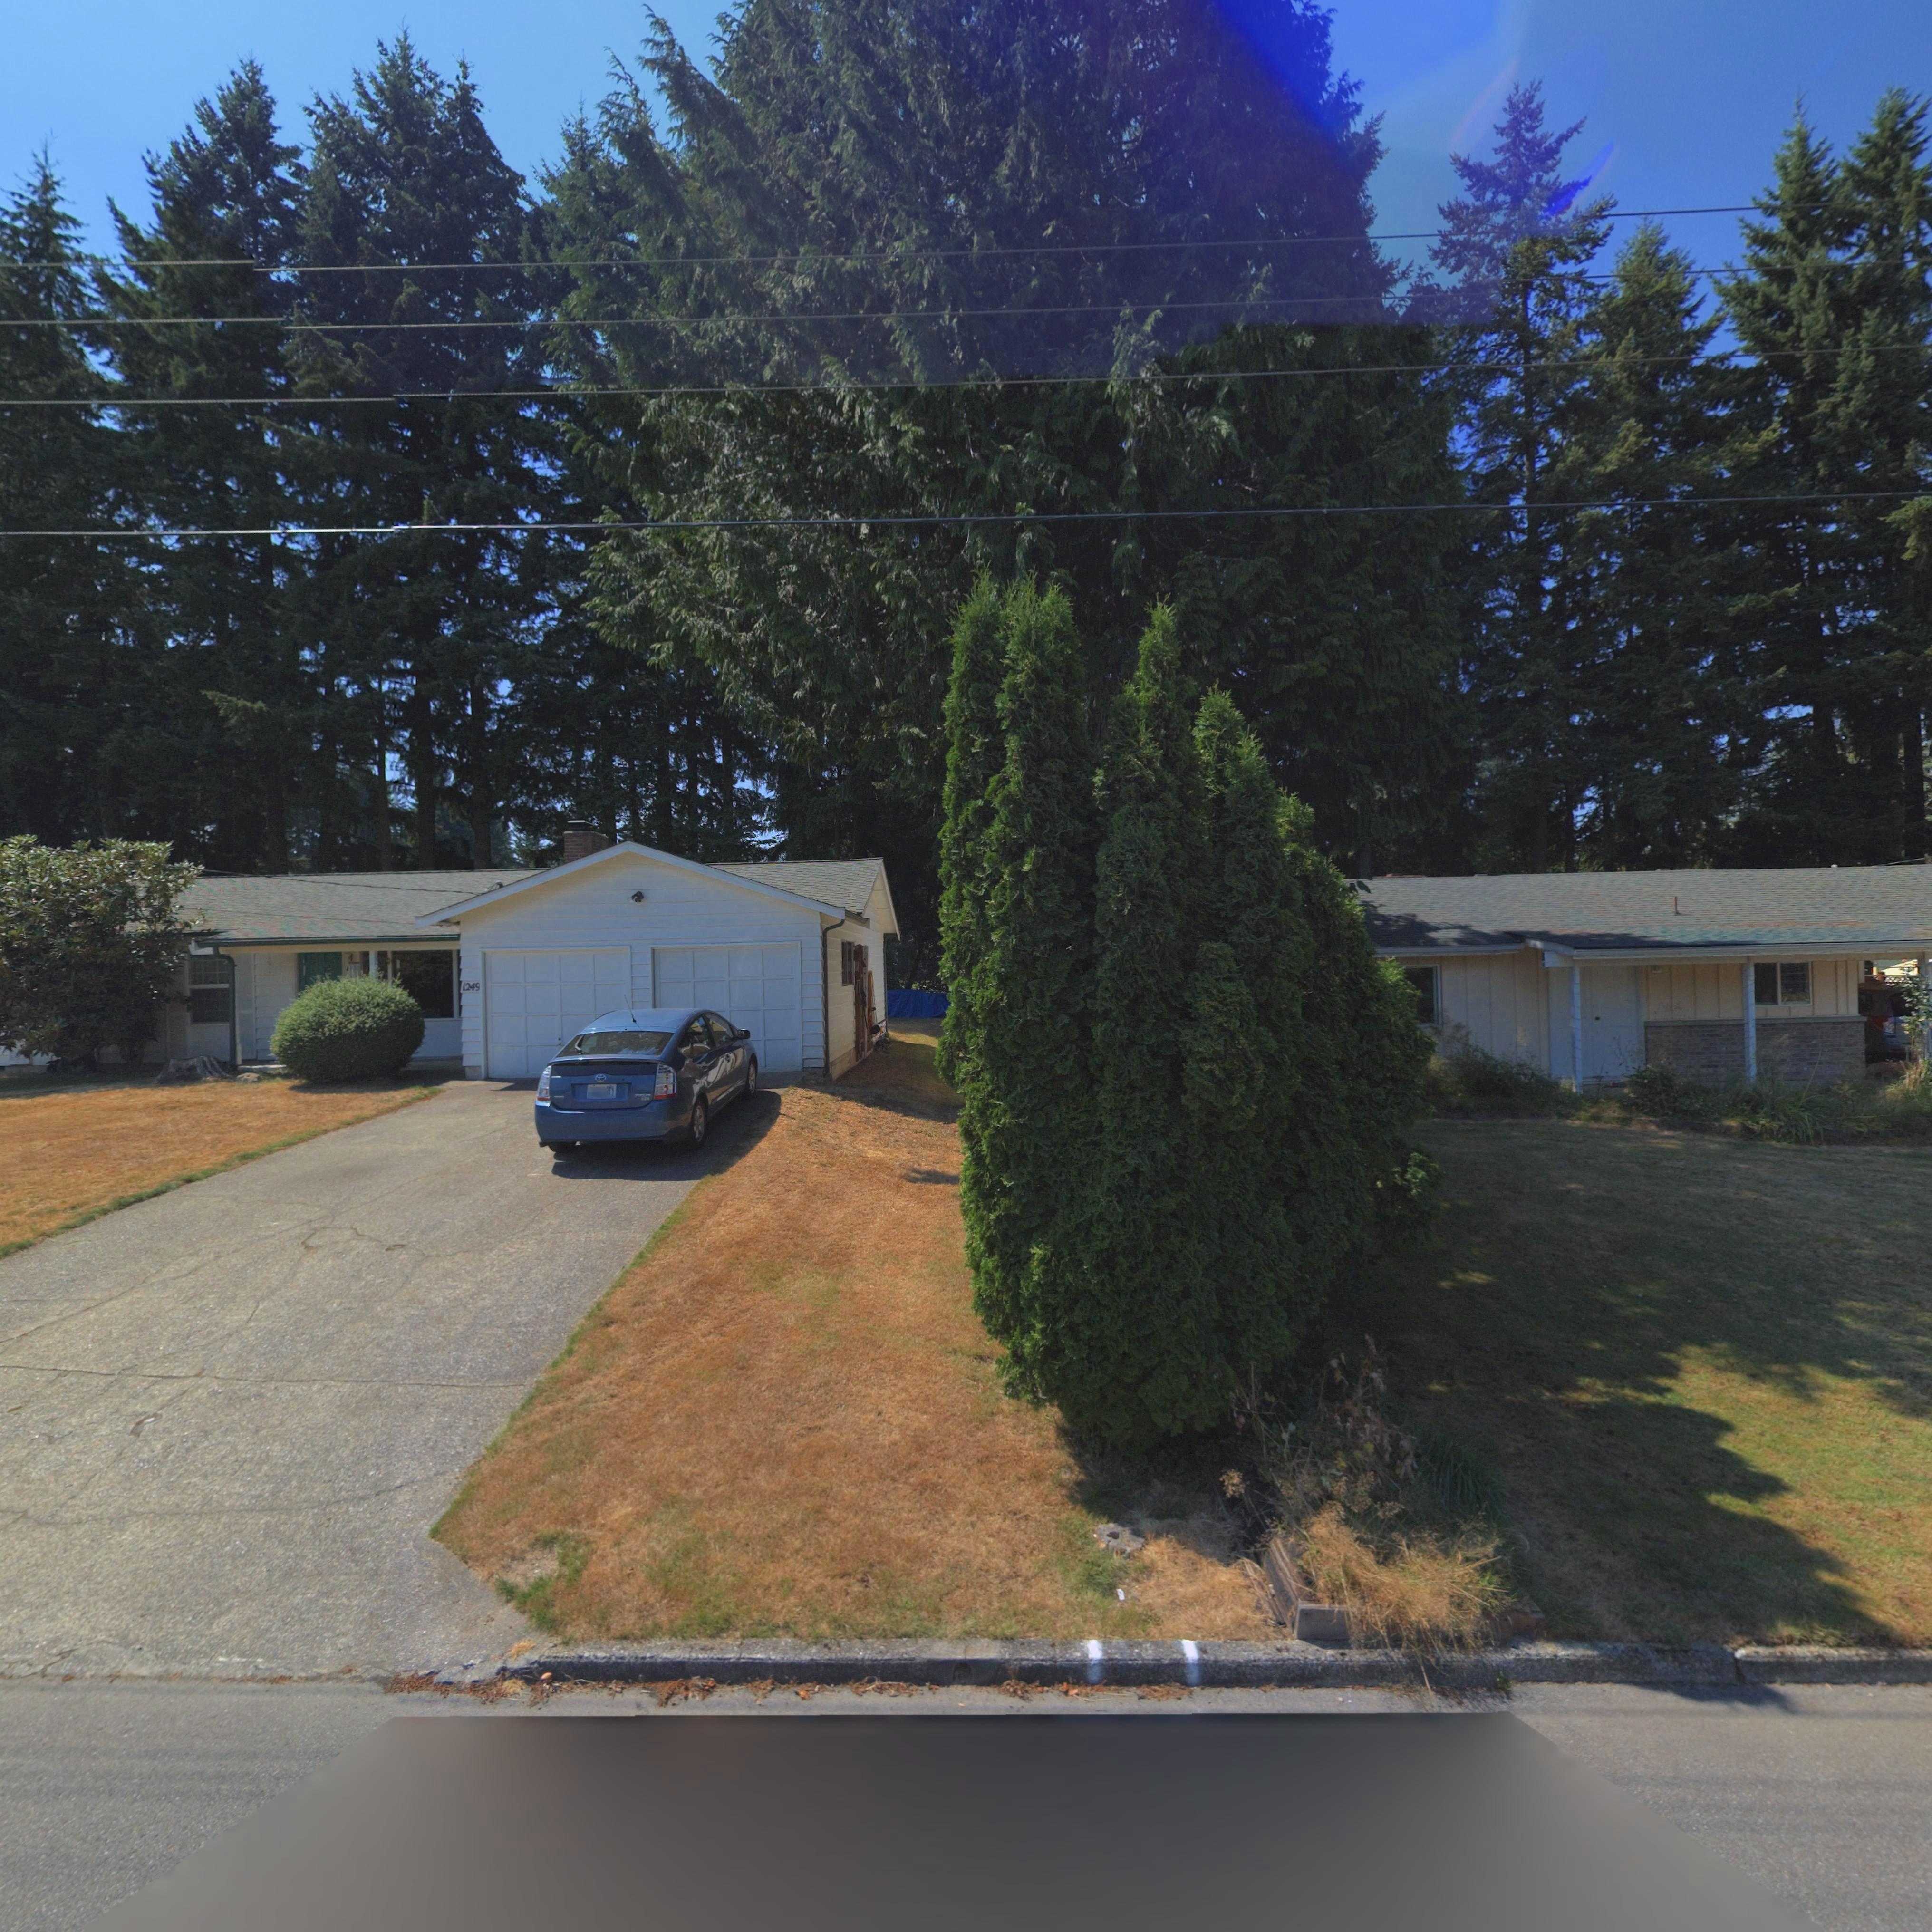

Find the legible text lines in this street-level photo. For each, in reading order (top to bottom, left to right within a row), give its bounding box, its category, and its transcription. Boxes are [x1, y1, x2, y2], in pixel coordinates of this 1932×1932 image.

[462, 981, 480, 991] StreetNumber: 1249